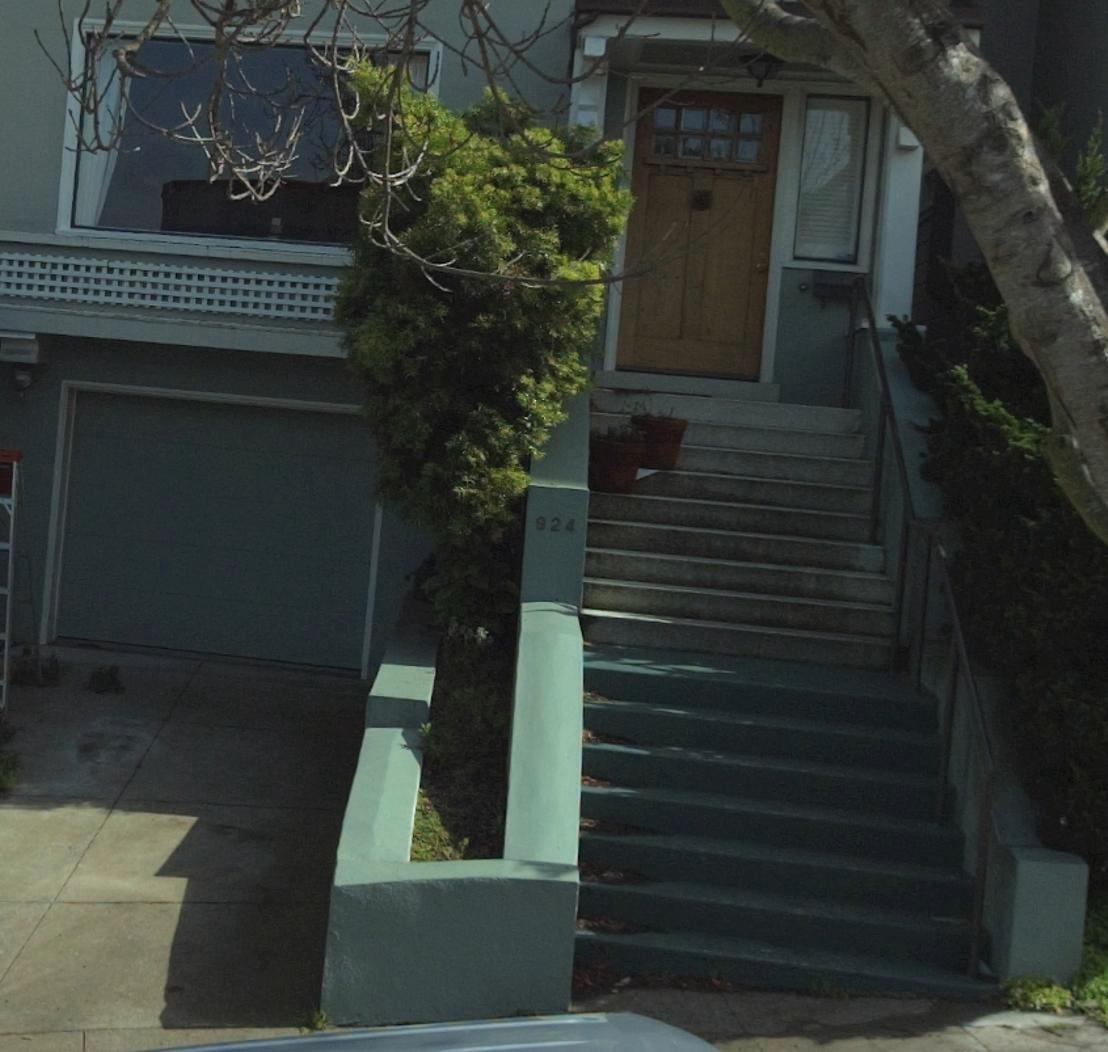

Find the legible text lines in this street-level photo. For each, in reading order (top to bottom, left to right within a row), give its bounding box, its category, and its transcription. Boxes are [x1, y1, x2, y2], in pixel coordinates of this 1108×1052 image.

[532, 514, 577, 536] StreetNumber: 924